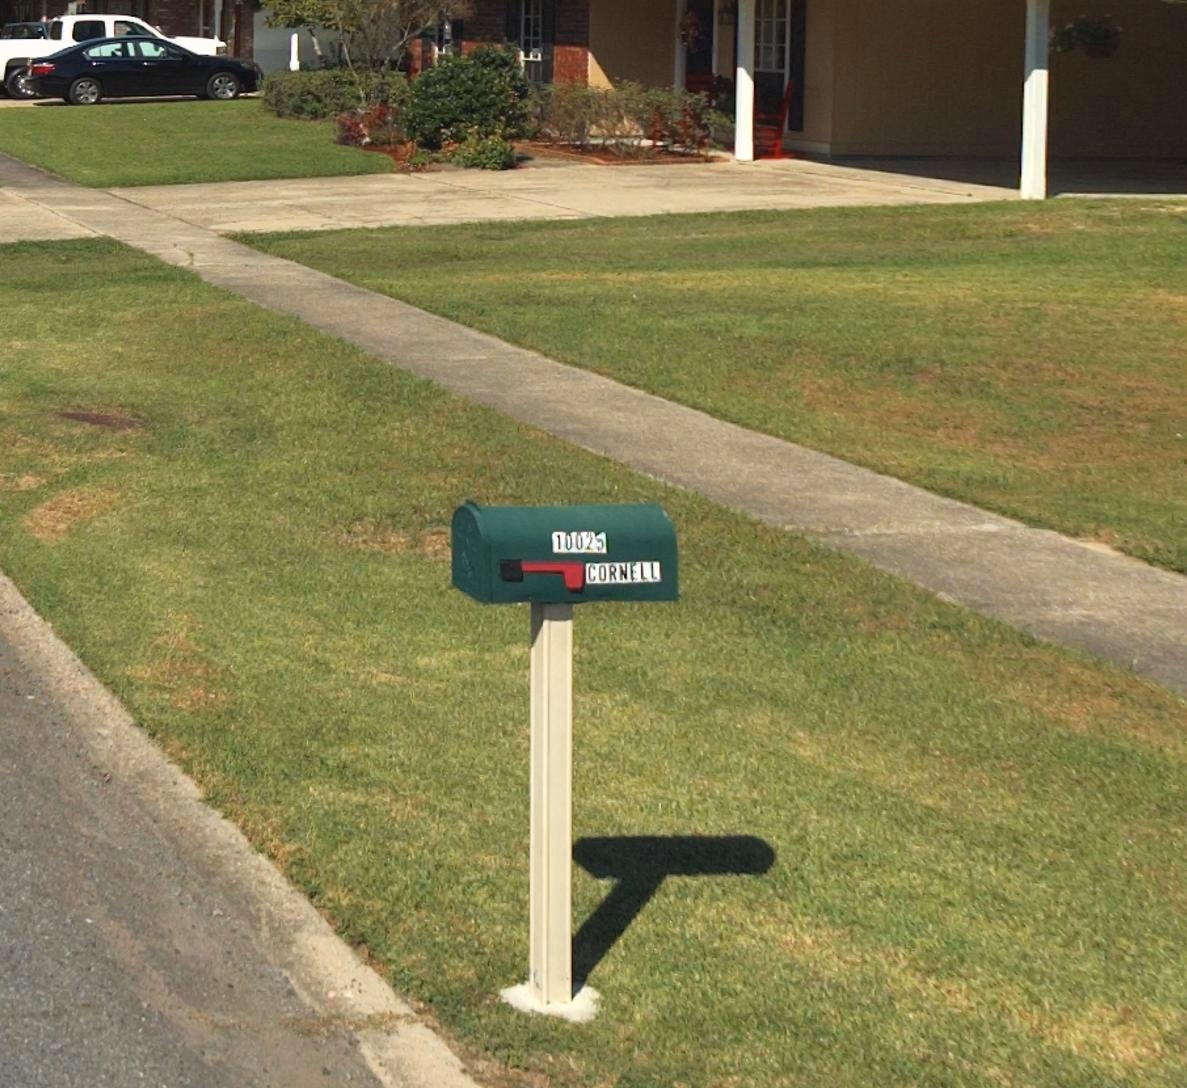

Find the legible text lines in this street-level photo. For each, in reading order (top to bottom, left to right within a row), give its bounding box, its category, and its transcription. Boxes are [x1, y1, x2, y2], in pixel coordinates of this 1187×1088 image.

[555, 532, 605, 552] StreetNumber: 10025
[586, 562, 659, 582] None: CORNELL